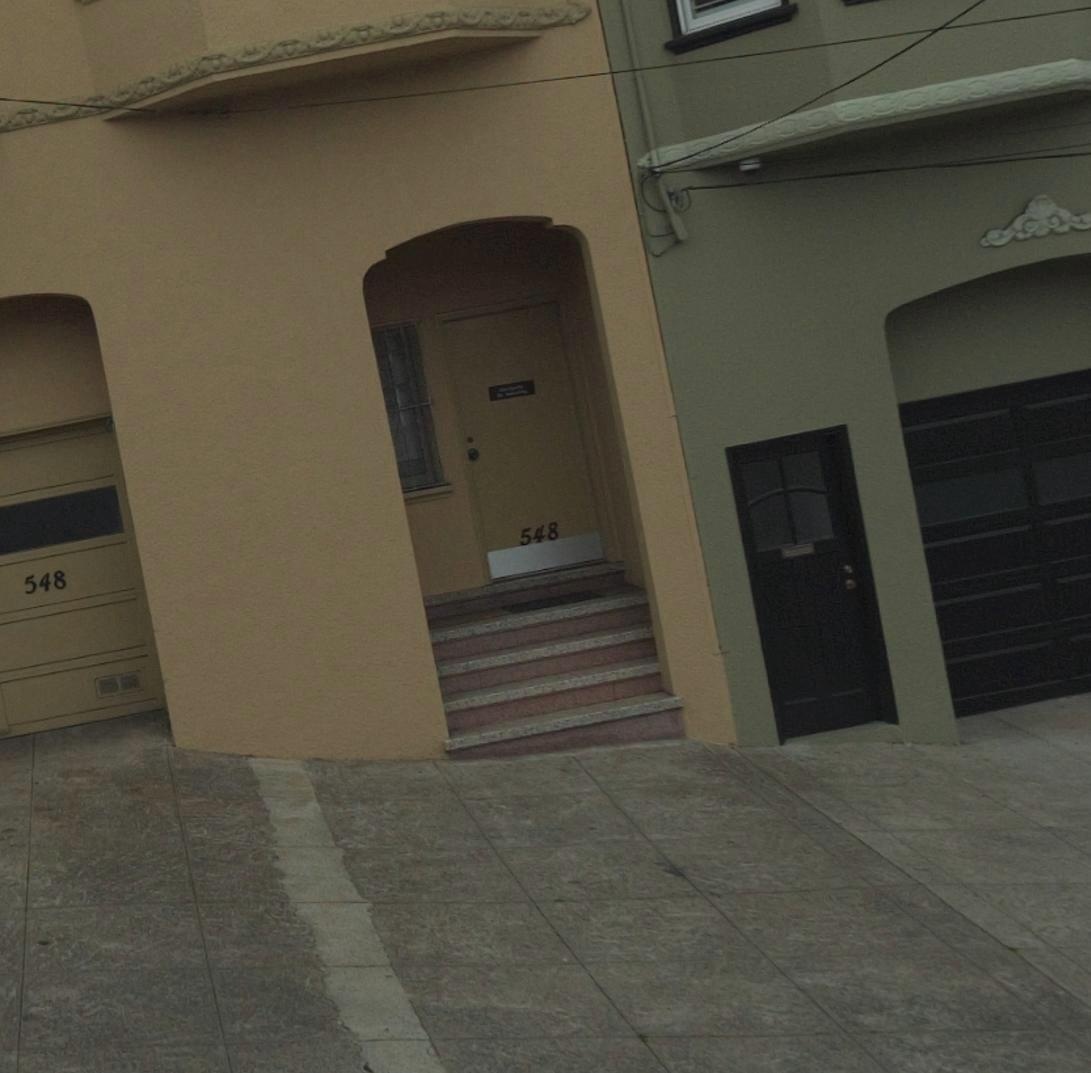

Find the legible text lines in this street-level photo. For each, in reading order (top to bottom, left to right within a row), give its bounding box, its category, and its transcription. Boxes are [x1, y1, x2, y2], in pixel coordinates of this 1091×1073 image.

[518, 519, 560, 548] StreetNumber: 548
[23, 568, 69, 596] StreetNumber: 548